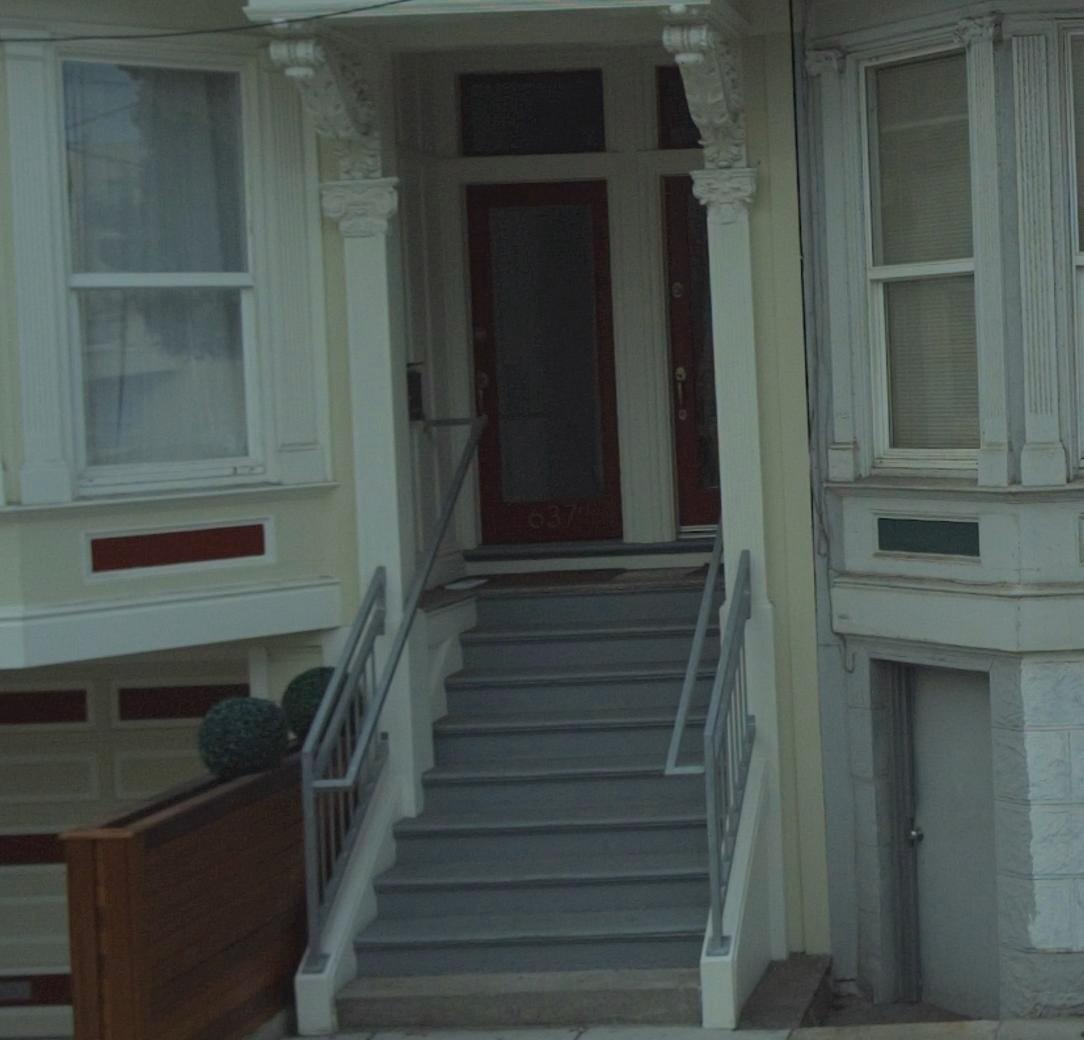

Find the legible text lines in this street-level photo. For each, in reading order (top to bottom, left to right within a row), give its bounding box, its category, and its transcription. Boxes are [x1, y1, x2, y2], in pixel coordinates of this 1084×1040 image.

[527, 502, 579, 530] StreetNumber: 637